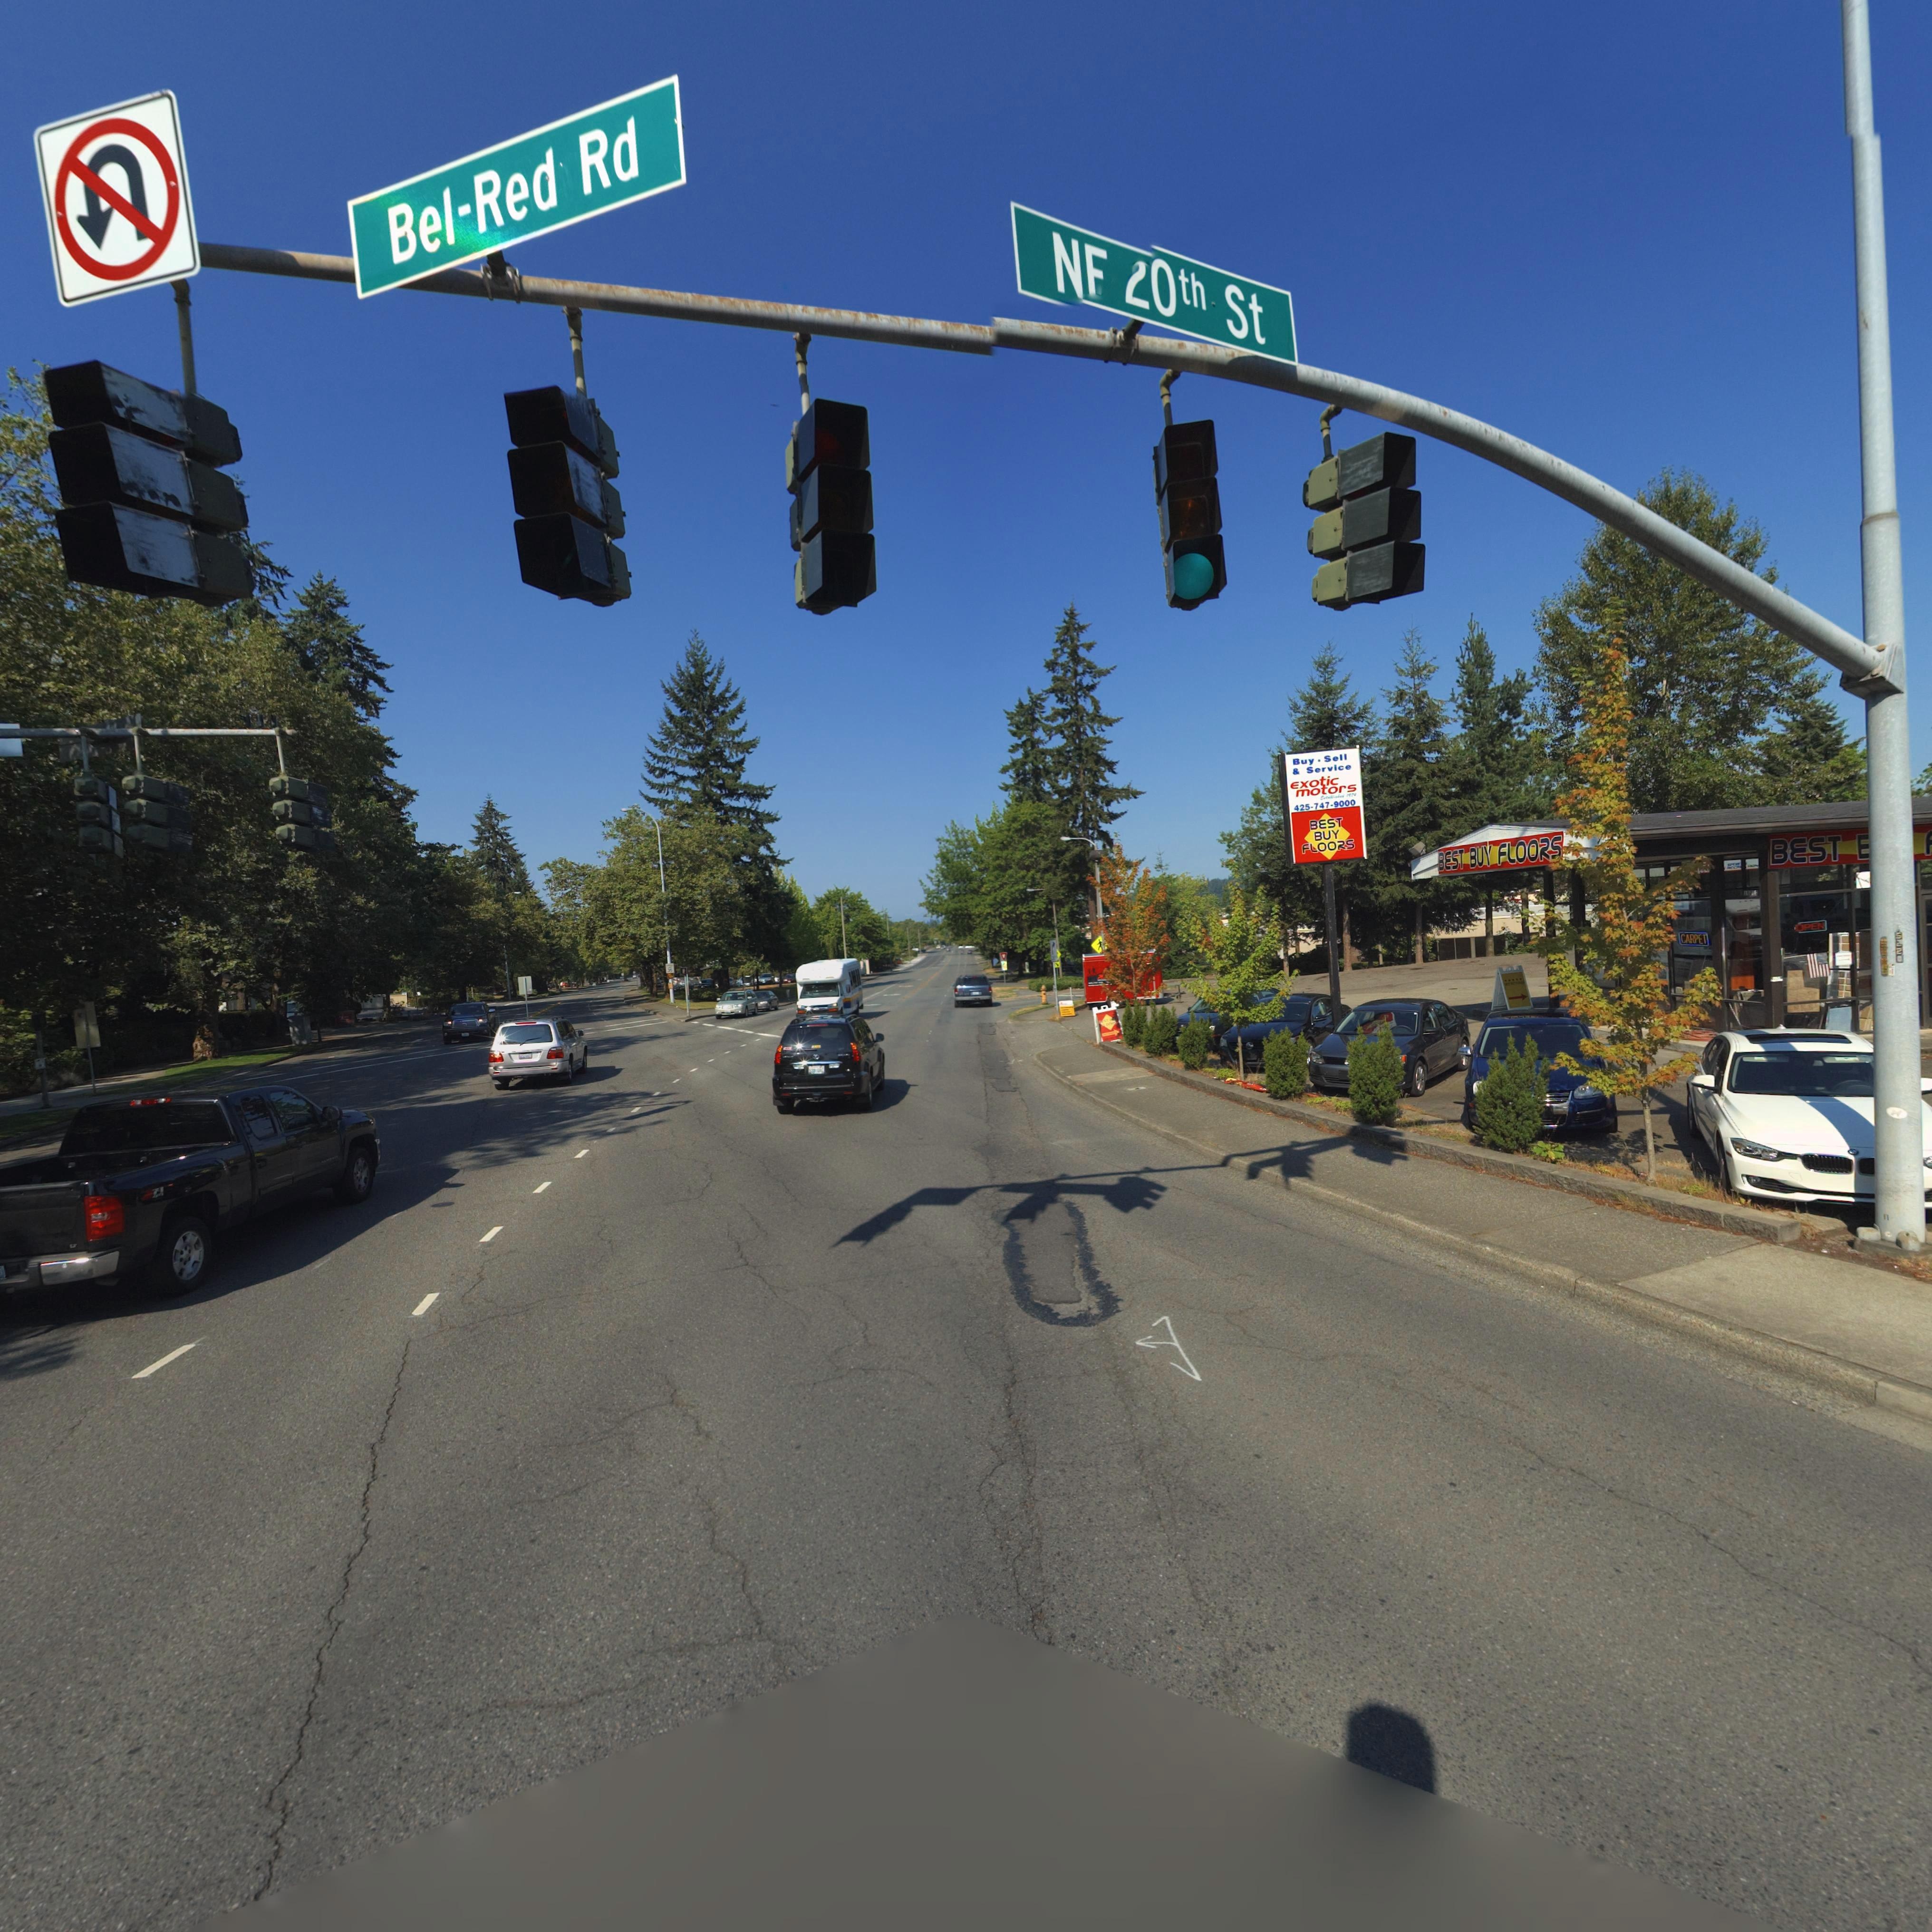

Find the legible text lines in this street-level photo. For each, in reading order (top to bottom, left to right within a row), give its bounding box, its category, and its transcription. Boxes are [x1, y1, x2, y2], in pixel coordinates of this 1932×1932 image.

[1289, 775, 1340, 789] BusinessName: Exotic
[1295, 784, 1357, 797] BusinessName: motors
[1310, 818, 1342, 829] BusinessName: BEST
[1314, 829, 1340, 840] BusinessName: BUY
[1302, 839, 1354, 853] BusinessName: FLOORS